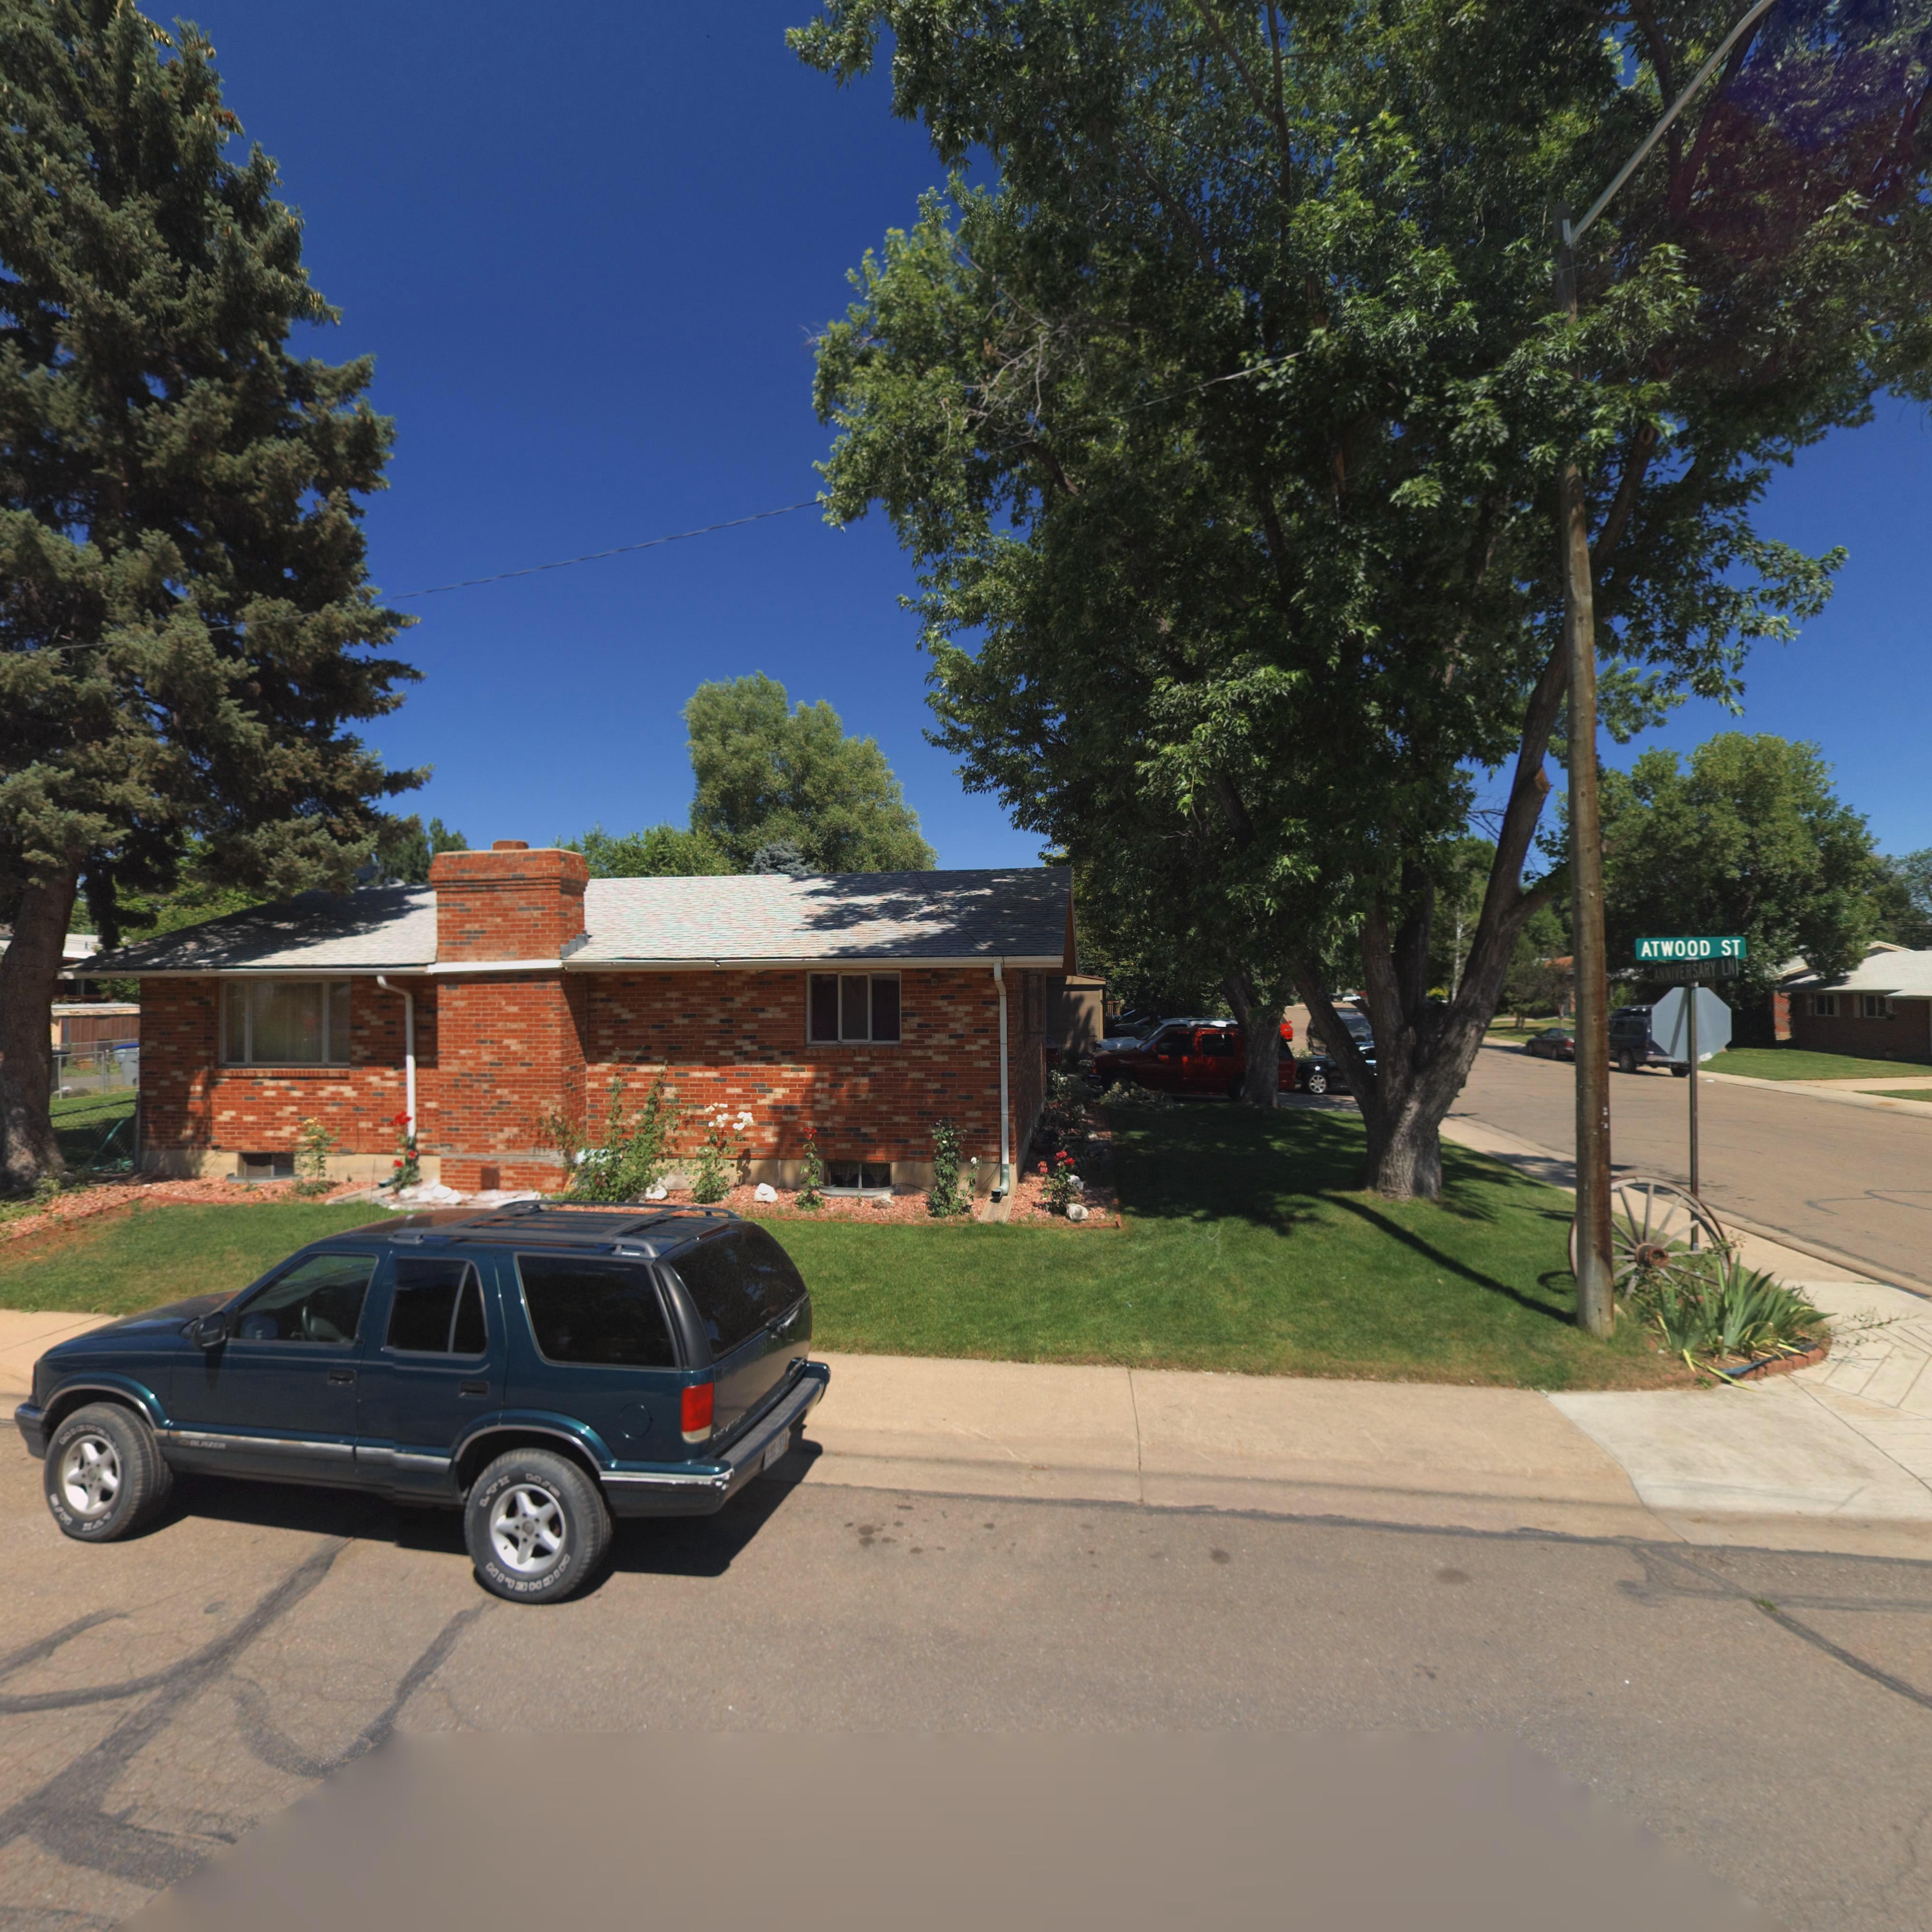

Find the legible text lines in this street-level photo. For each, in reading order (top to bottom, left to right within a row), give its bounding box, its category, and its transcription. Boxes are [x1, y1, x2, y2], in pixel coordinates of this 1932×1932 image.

[1640, 939, 1741, 956] StreetName: ATWOOD ST
[1653, 958, 1736, 983] StreetName: ANNIVERSARY LN